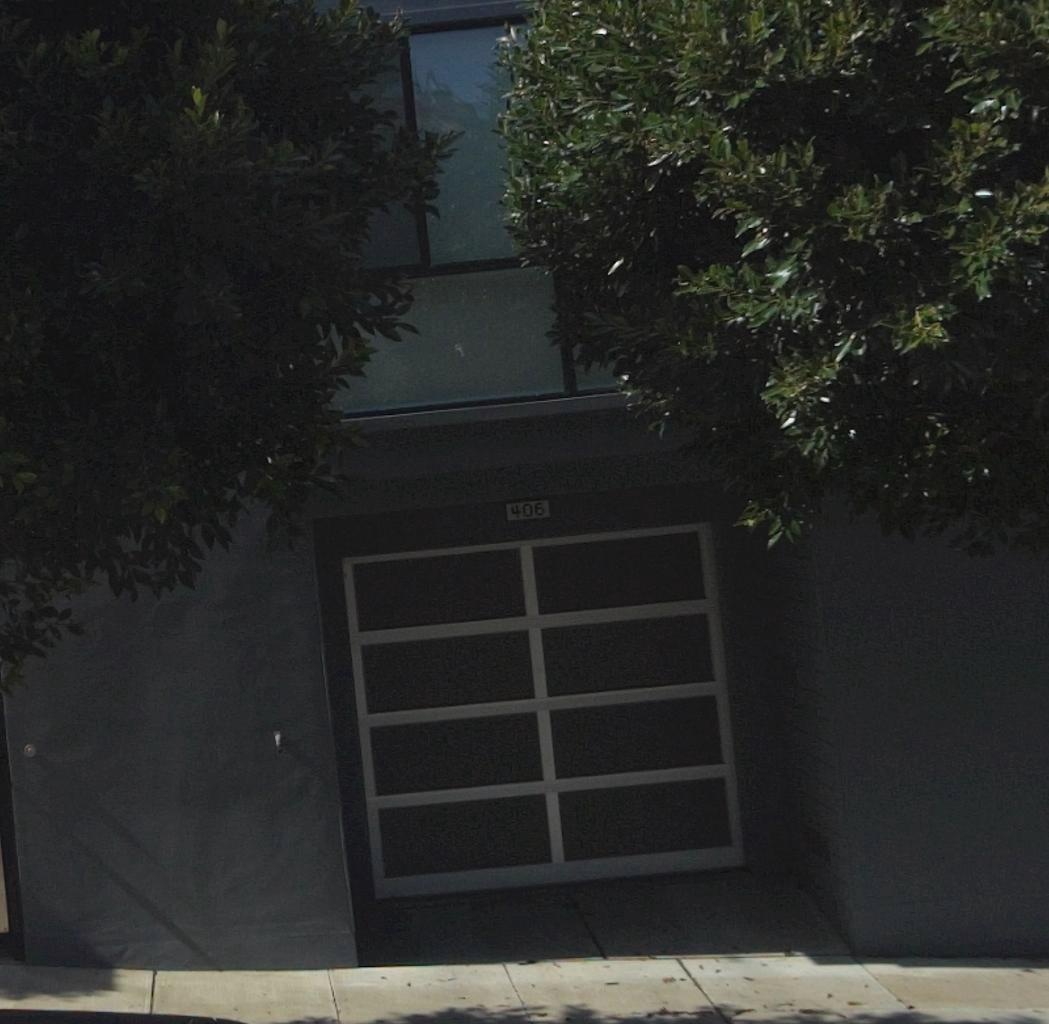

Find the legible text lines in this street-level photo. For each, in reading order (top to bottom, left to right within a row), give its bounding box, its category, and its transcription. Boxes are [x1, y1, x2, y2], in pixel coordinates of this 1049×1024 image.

[507, 499, 547, 521] StreetNumber: 406